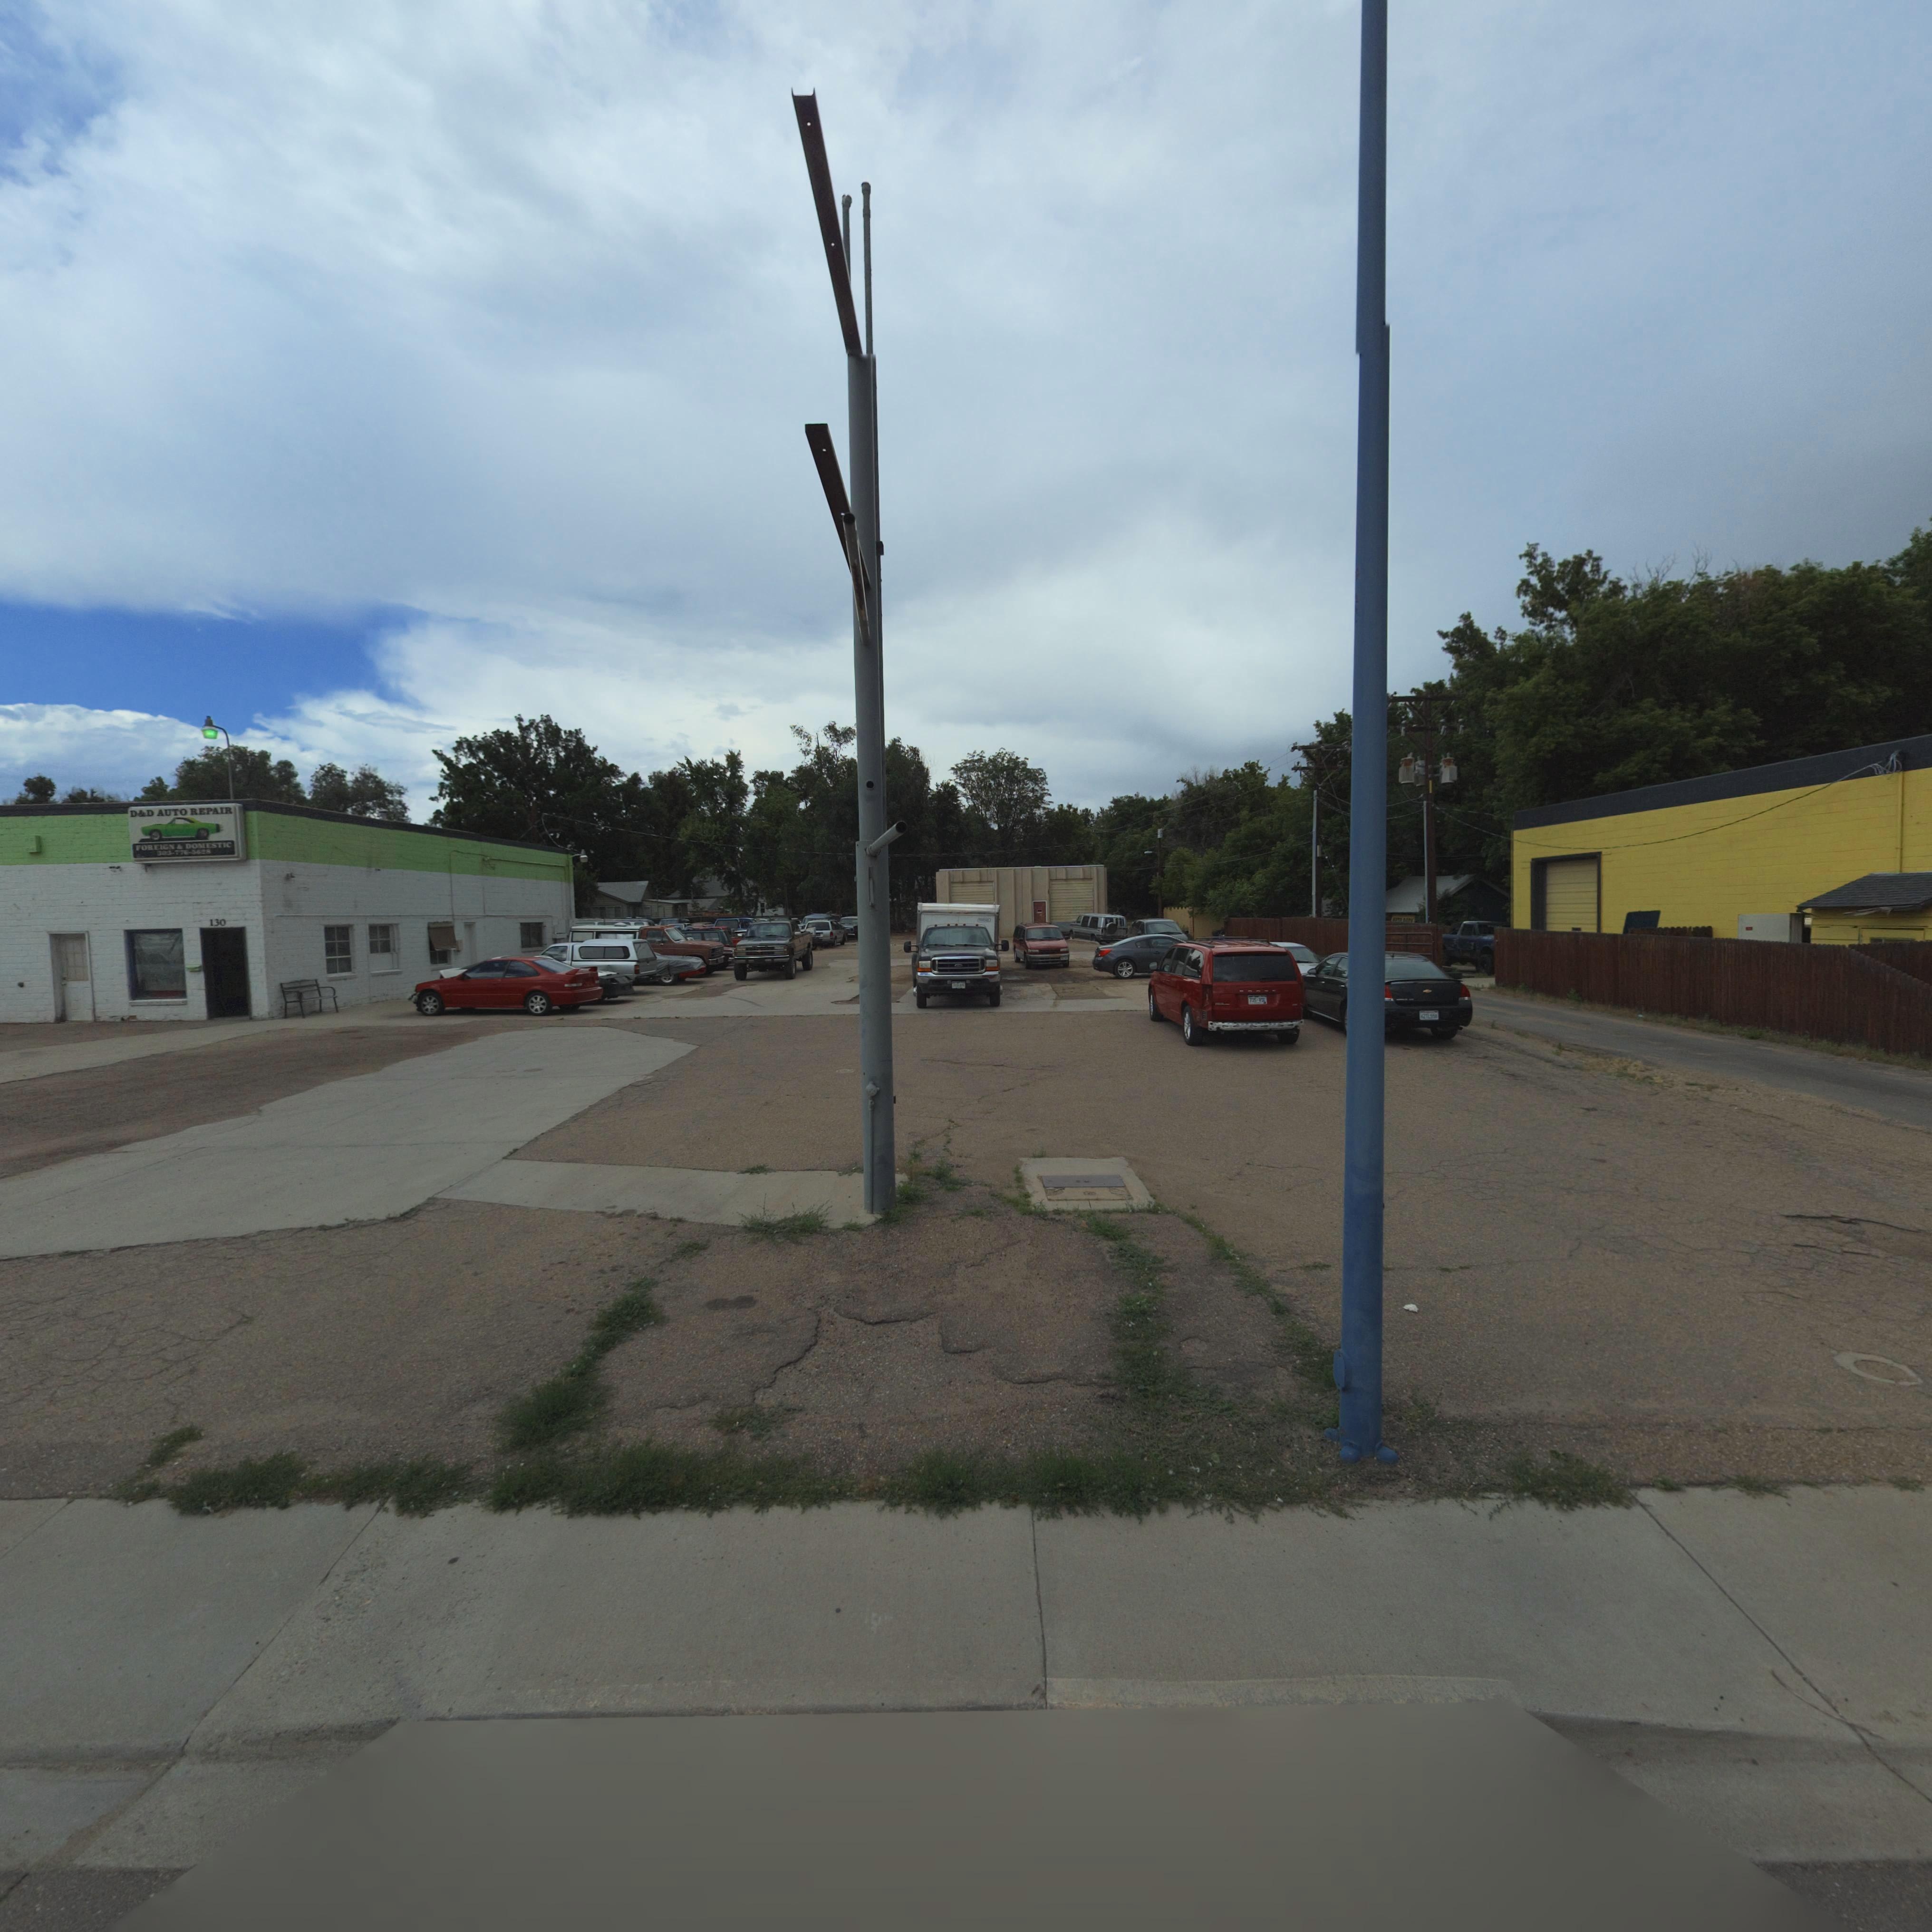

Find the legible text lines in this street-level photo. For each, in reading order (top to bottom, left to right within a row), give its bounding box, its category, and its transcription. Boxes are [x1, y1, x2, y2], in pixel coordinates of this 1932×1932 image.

[129, 806, 233, 817] BusinessName: D*D AUTO REPAIR
[209, 918, 226, 926] StreetNumber: 130